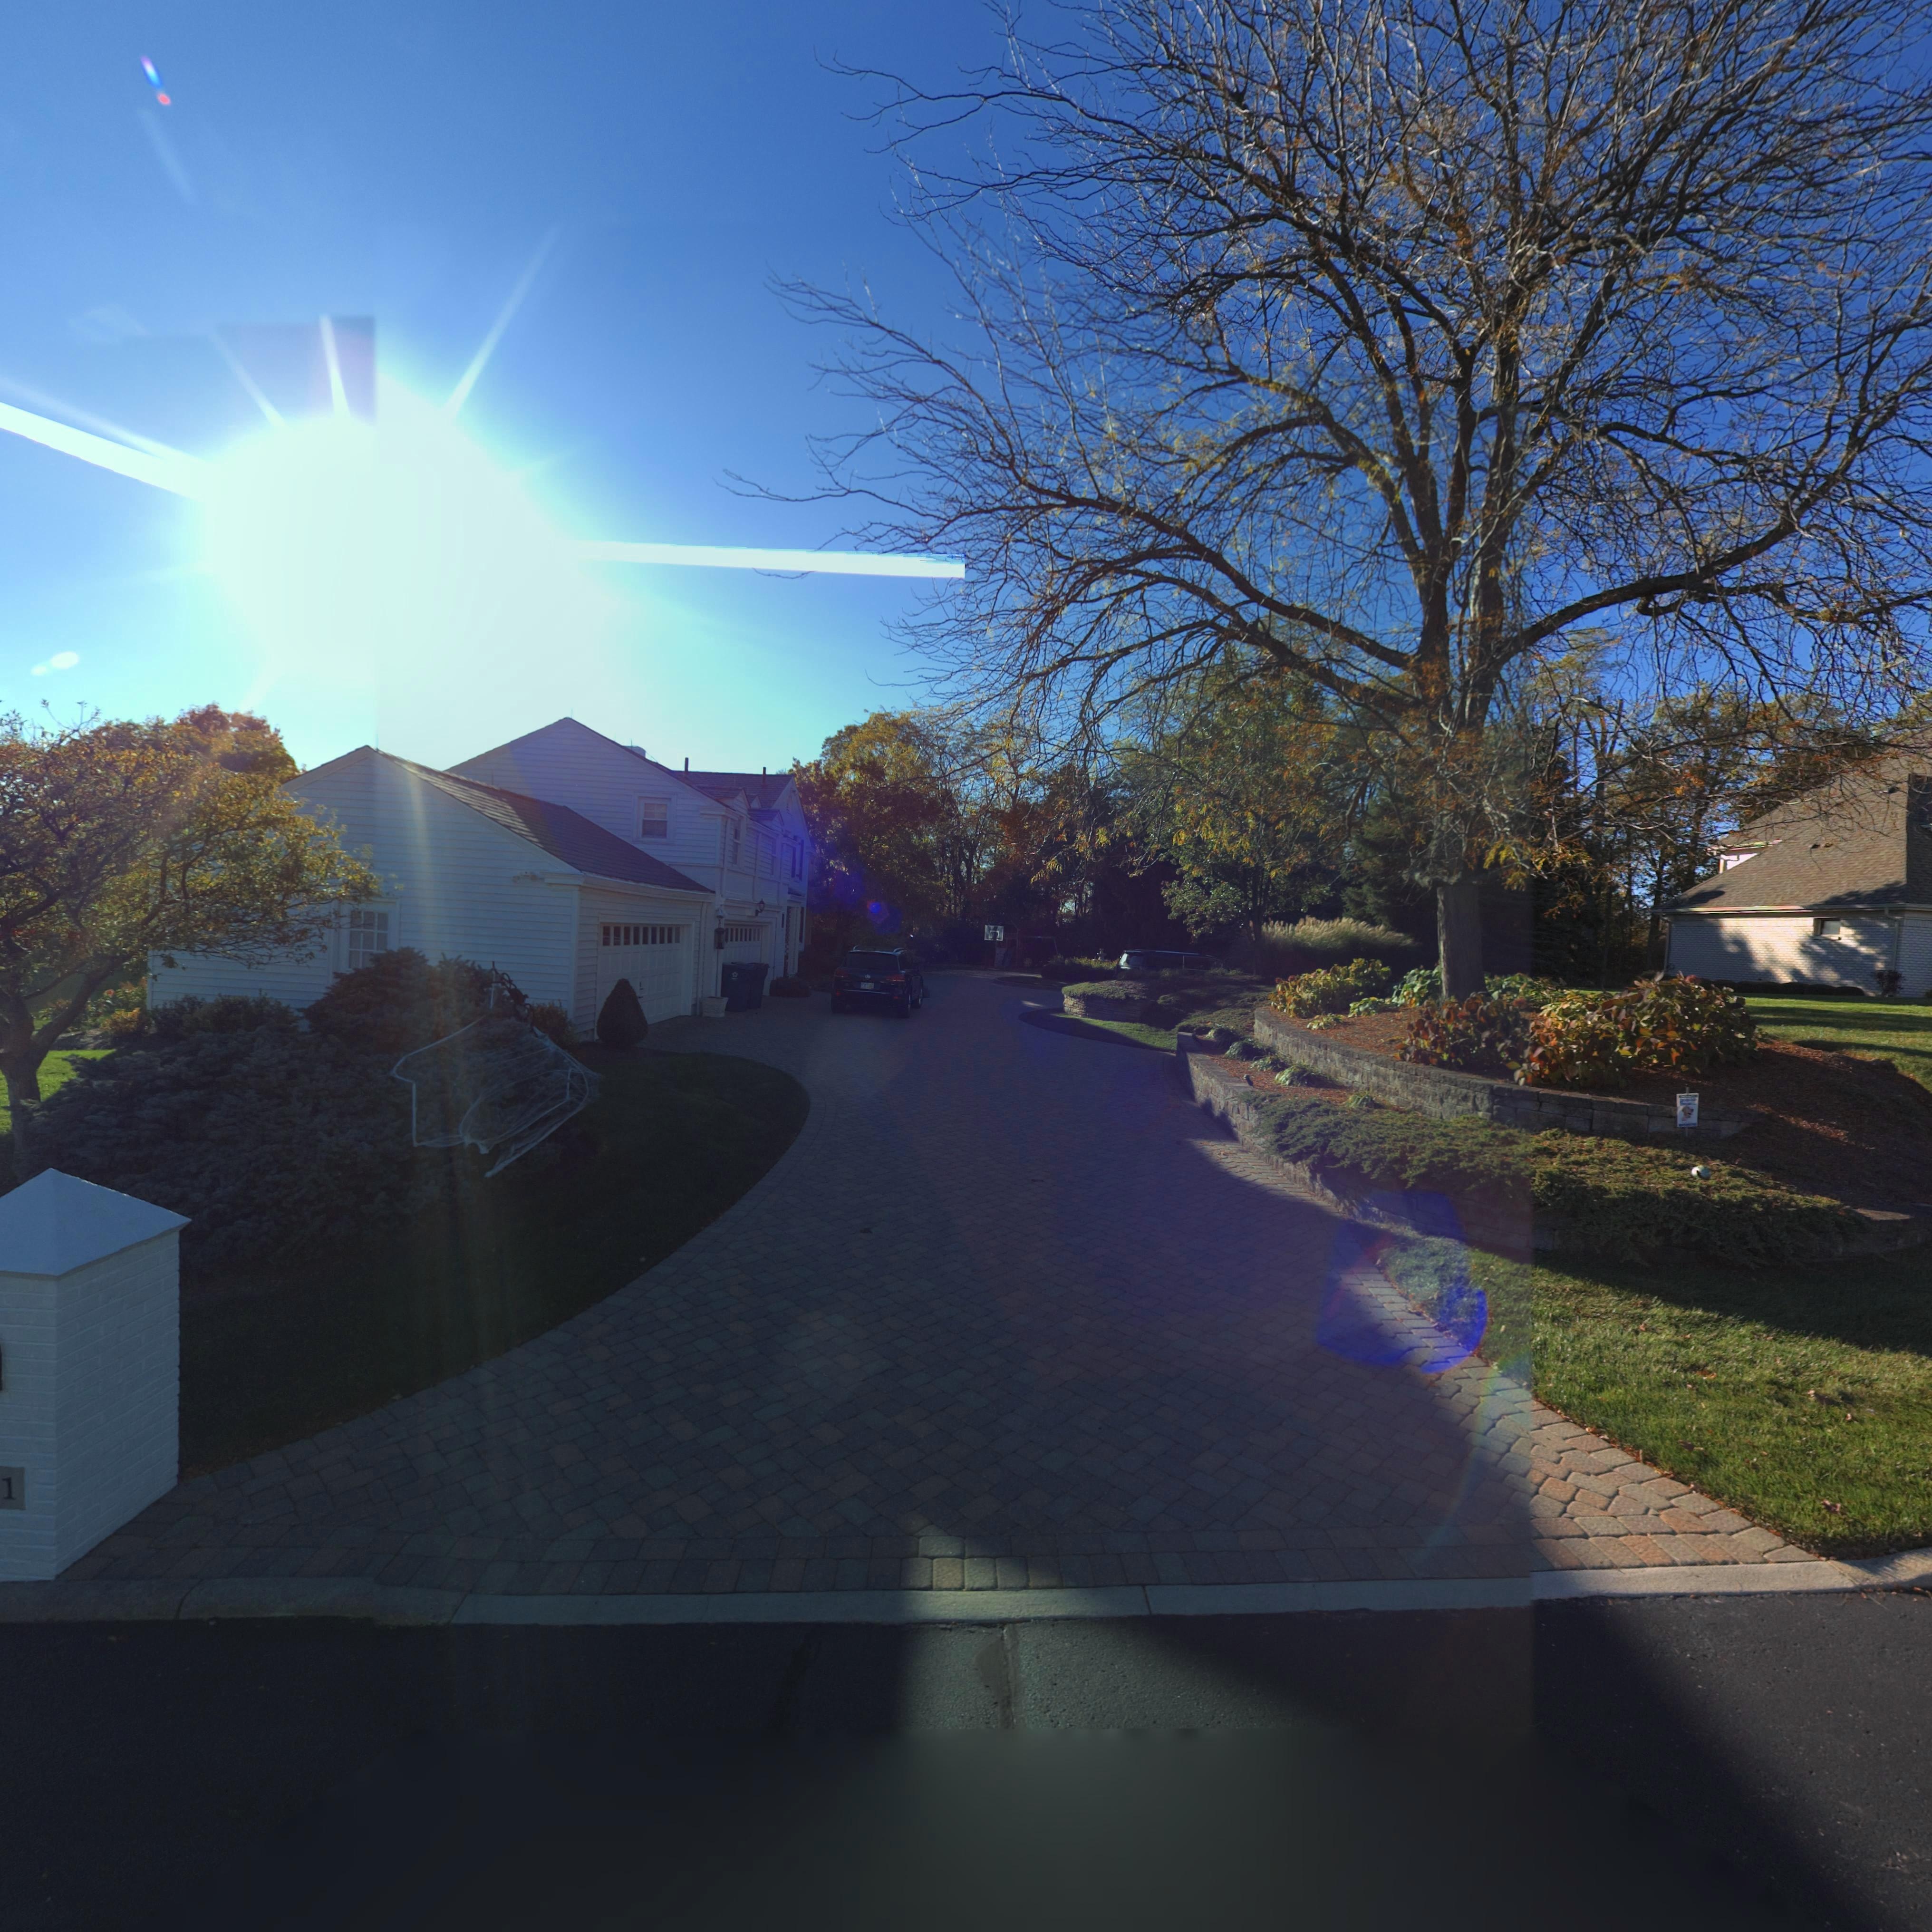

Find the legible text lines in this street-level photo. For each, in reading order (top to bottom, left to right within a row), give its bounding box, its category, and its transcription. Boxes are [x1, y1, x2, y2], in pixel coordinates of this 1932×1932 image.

[0, 1476, 18, 1501] StreetNumber: 1